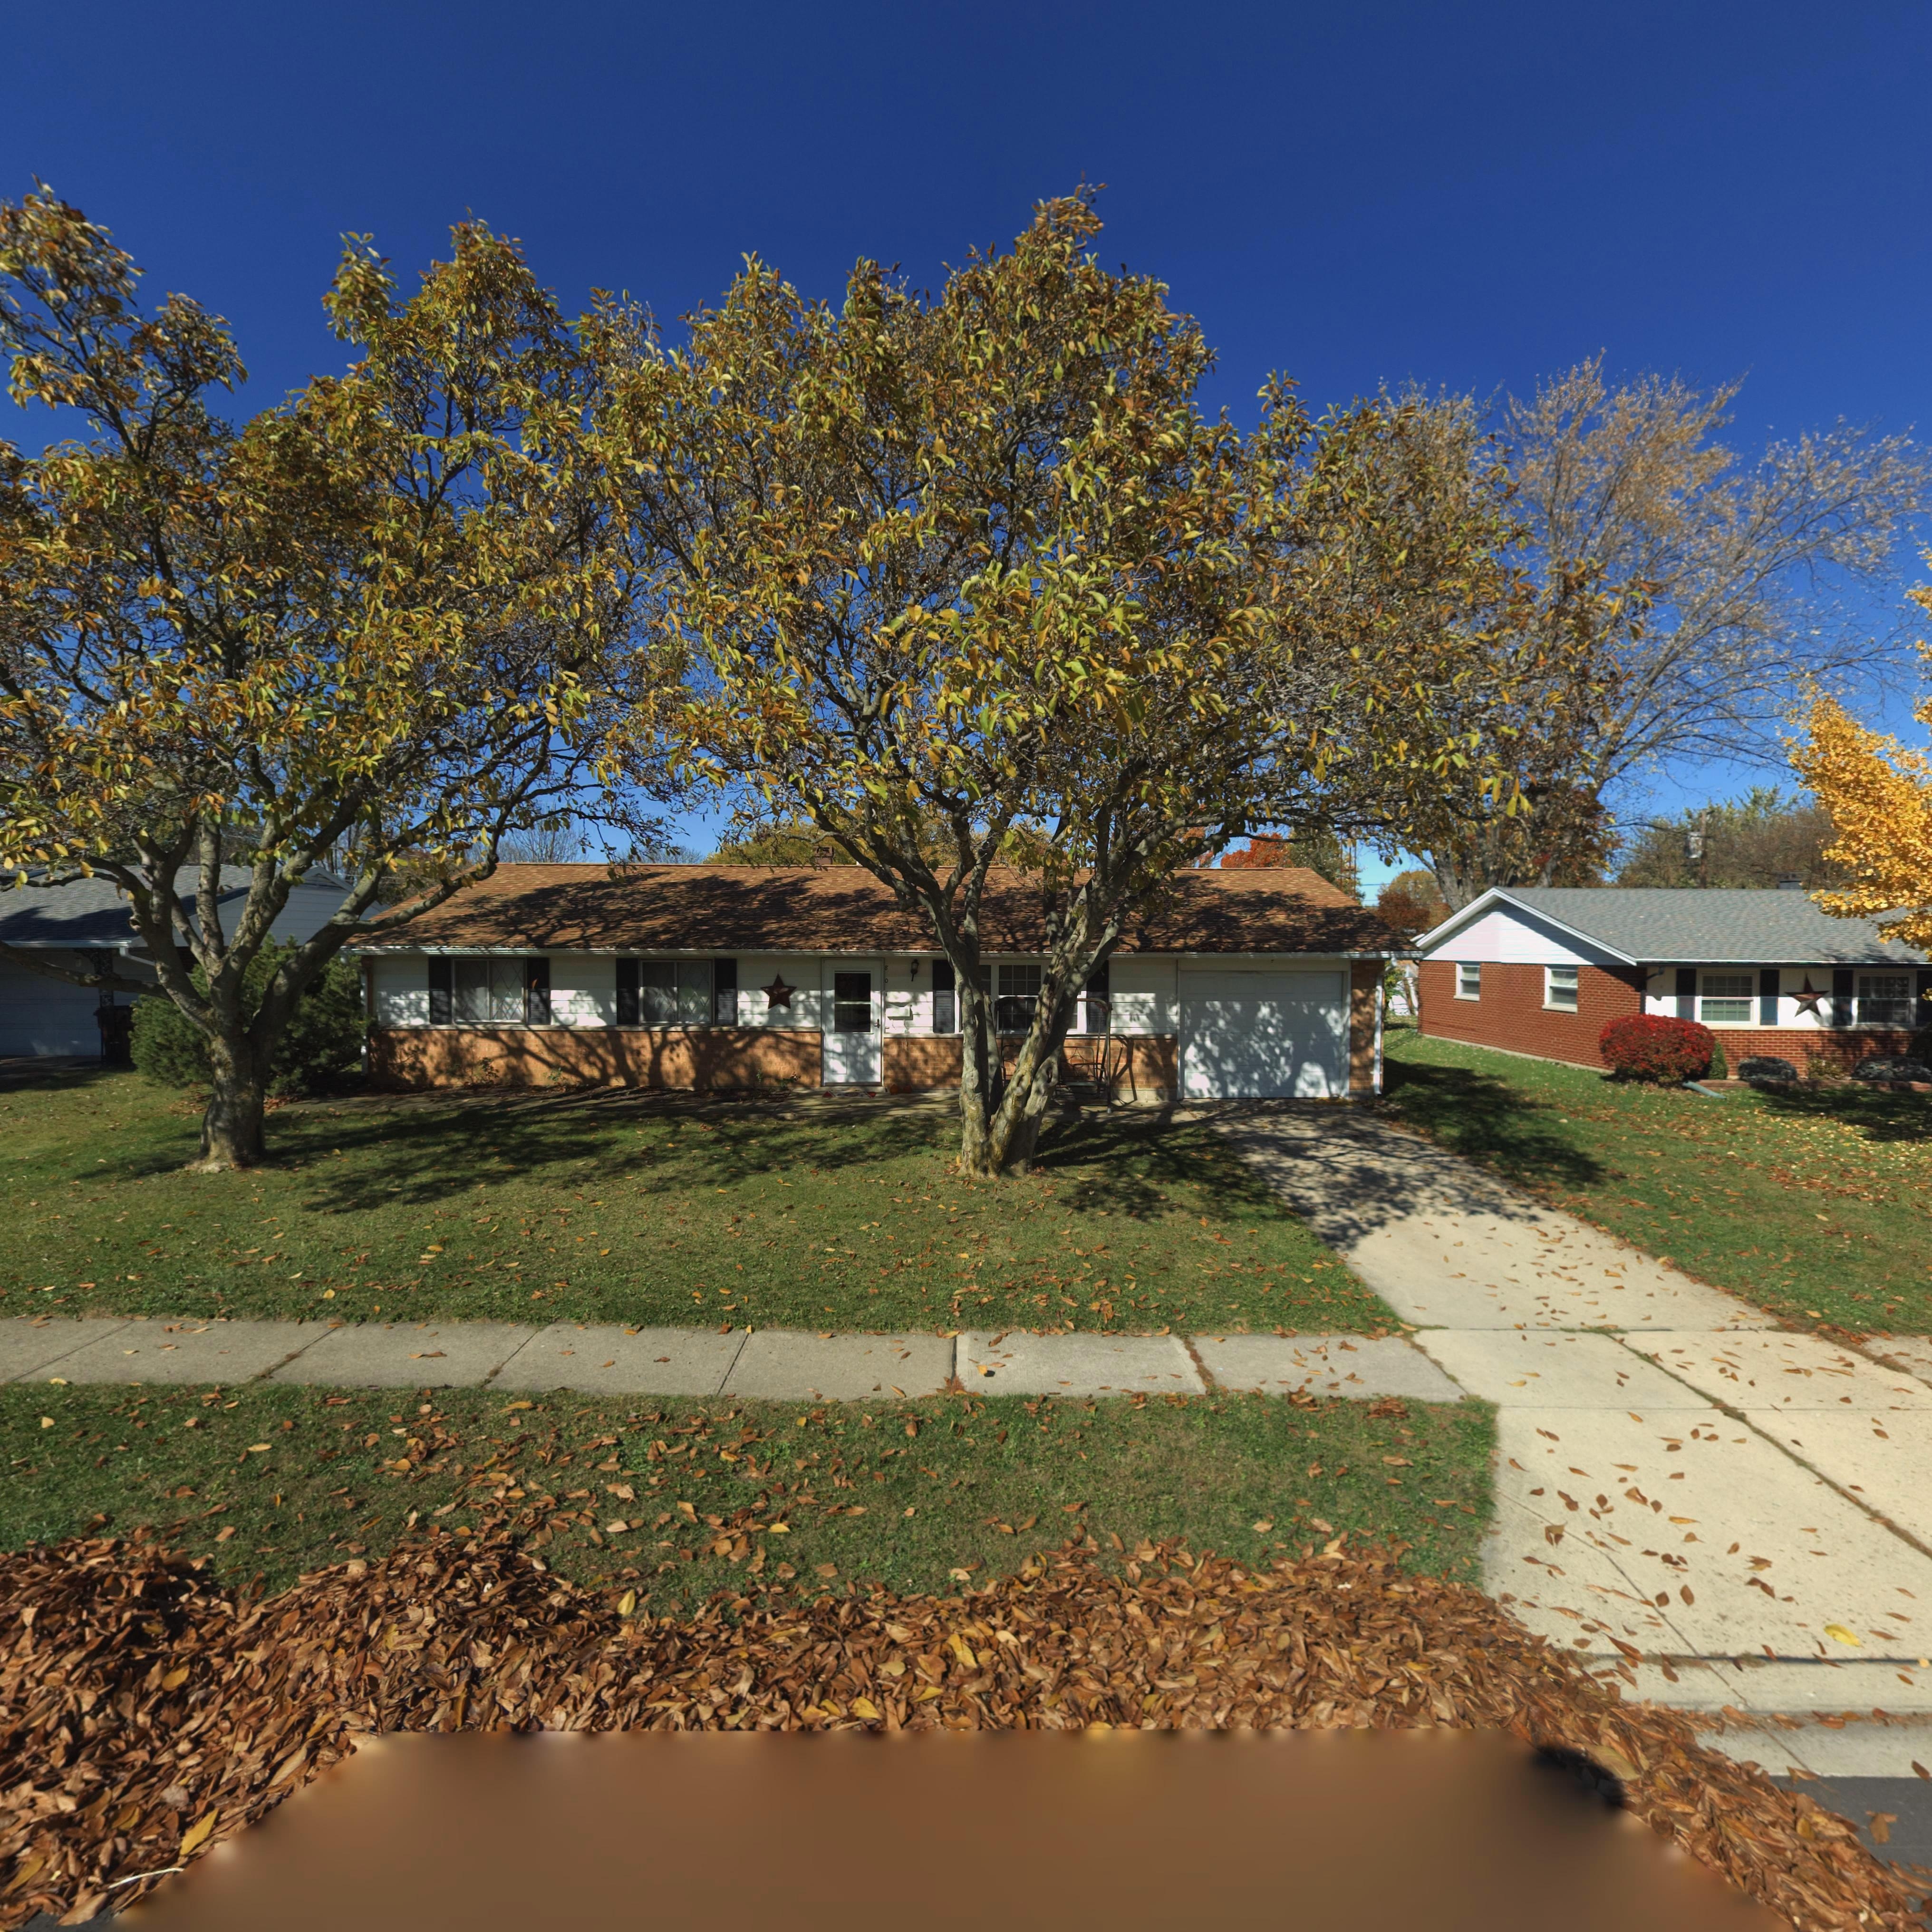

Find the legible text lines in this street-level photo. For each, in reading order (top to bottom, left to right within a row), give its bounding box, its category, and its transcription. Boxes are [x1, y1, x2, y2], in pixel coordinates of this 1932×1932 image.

[884, 965, 889, 996] StreetNumber: 801